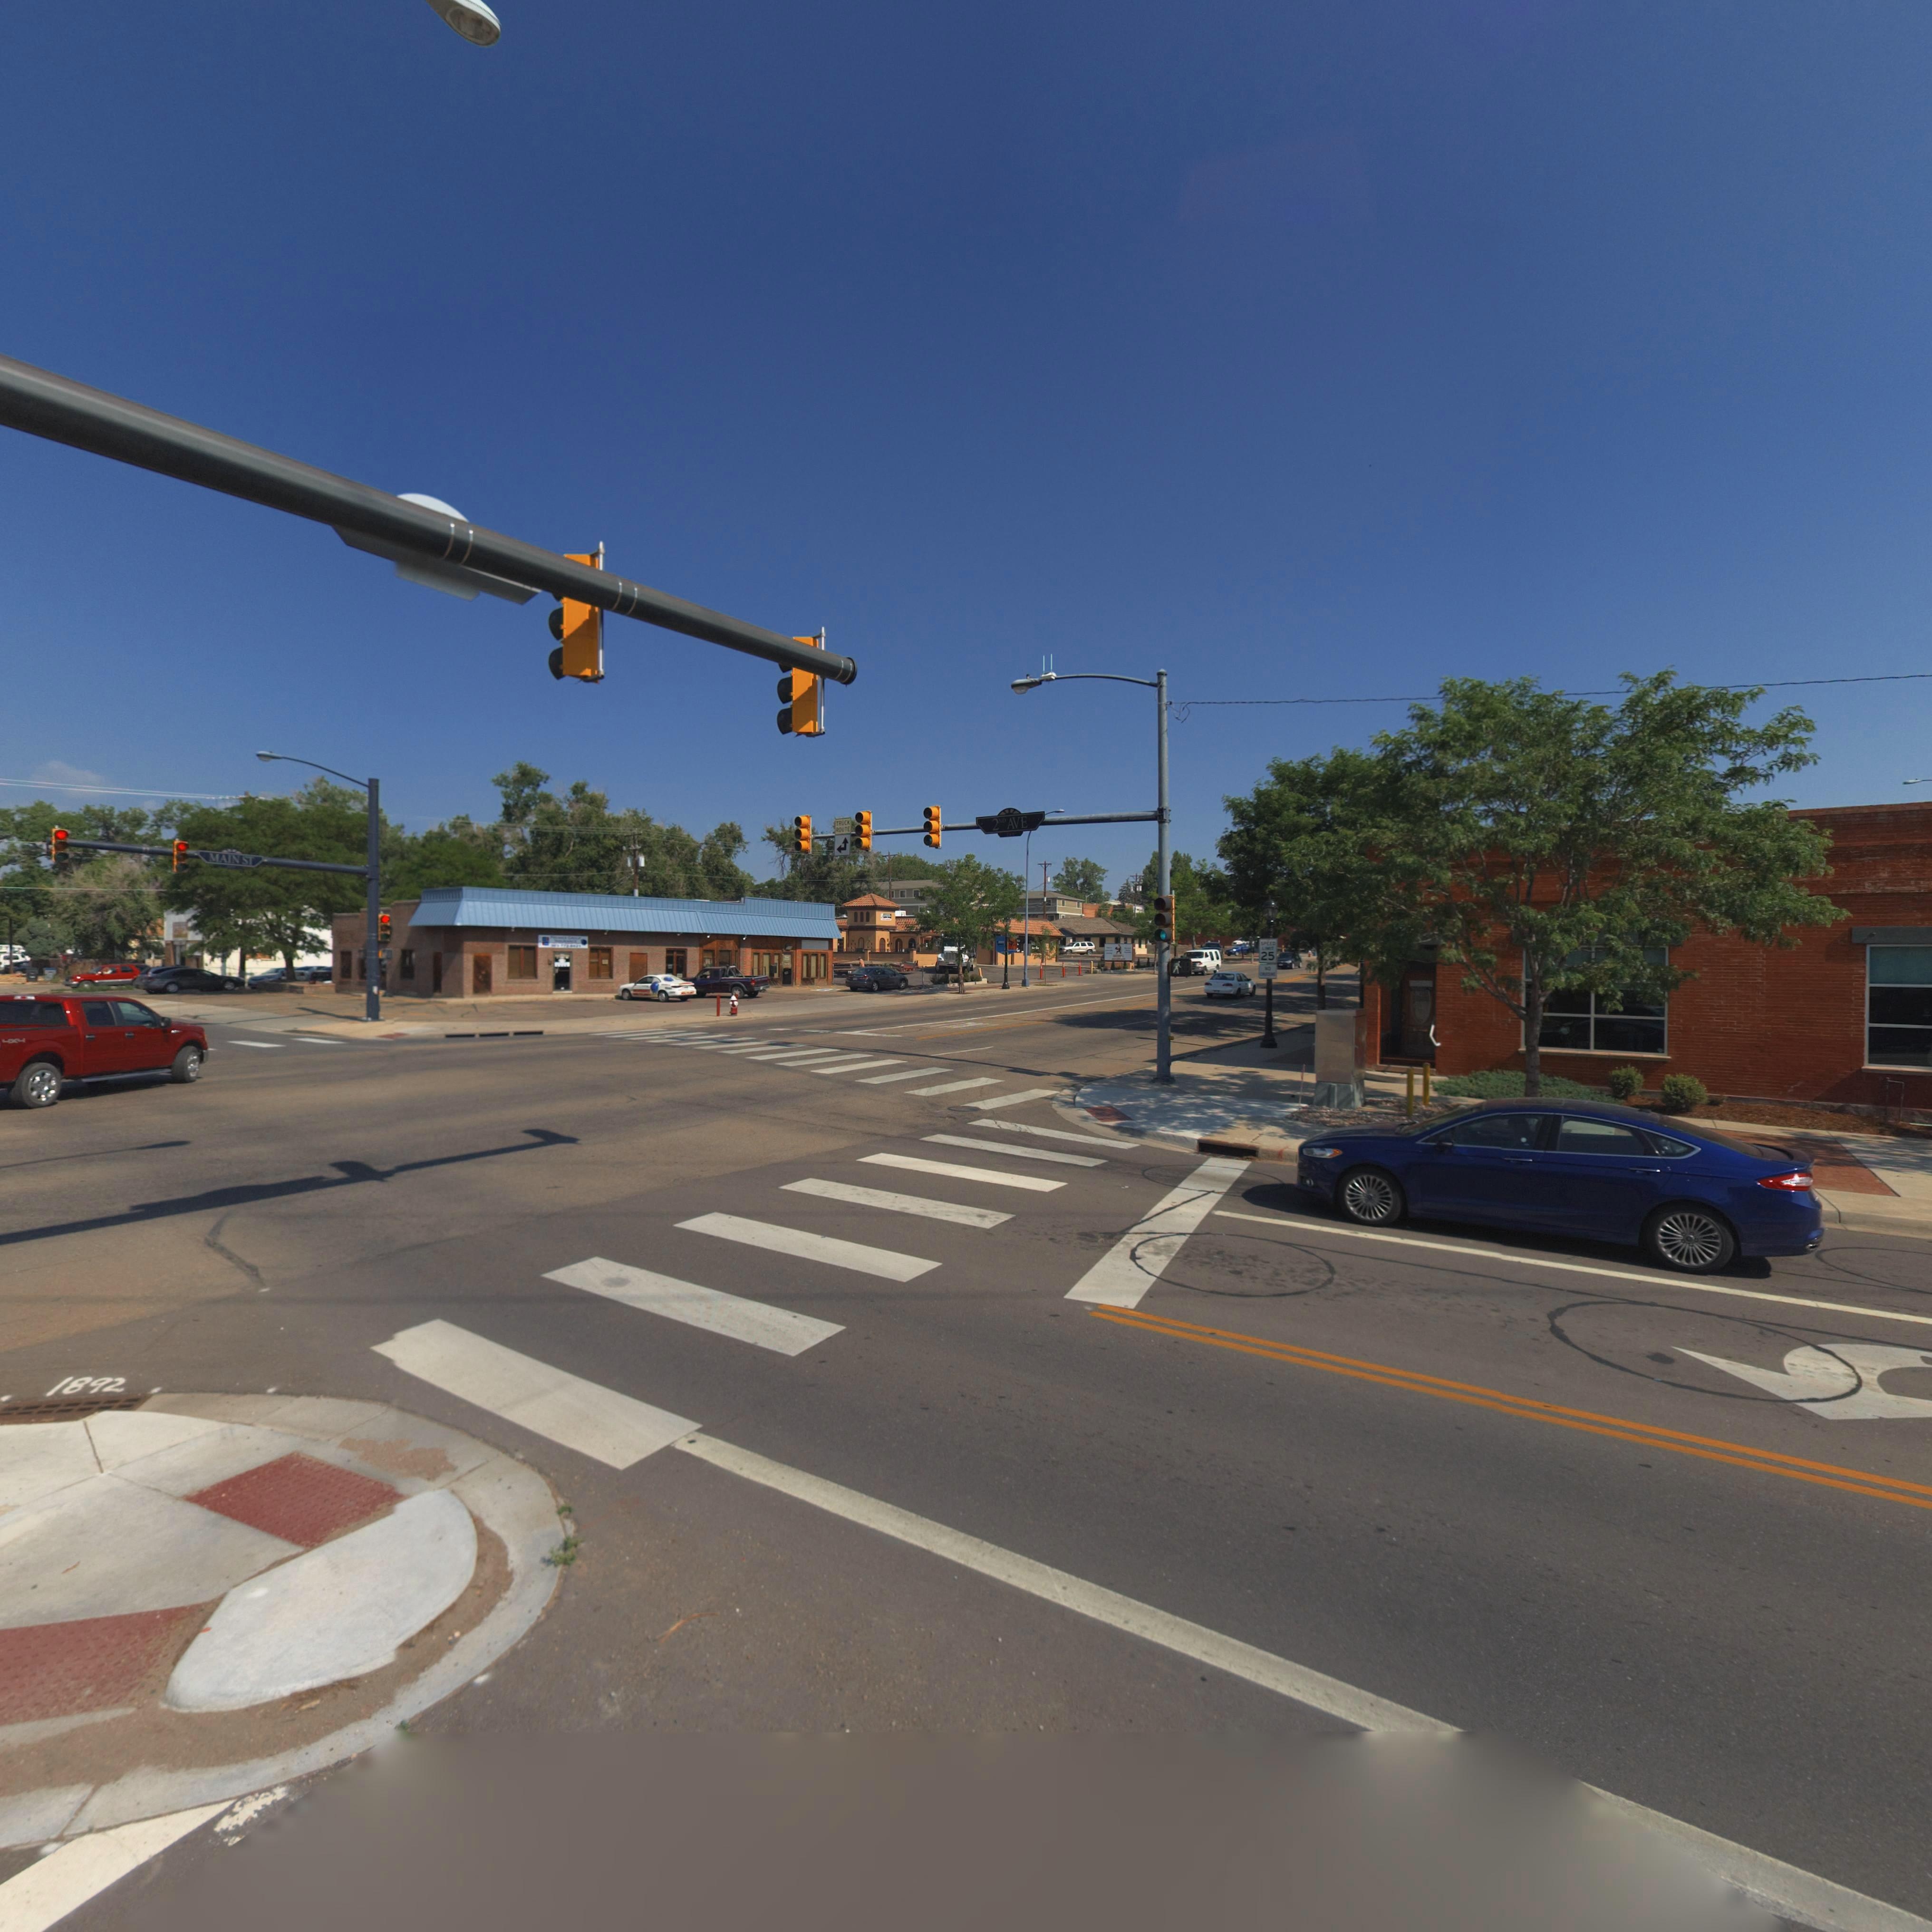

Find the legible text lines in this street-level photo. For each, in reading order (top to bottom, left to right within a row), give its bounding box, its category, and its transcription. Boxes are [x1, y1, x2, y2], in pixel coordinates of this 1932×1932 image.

[992, 815, 1028, 831] StreetName: 2ND AVE
[1005, 831, 1014, 836] StreetNumberRange: *00
[209, 852, 255, 866] StreetName: MAIN ST